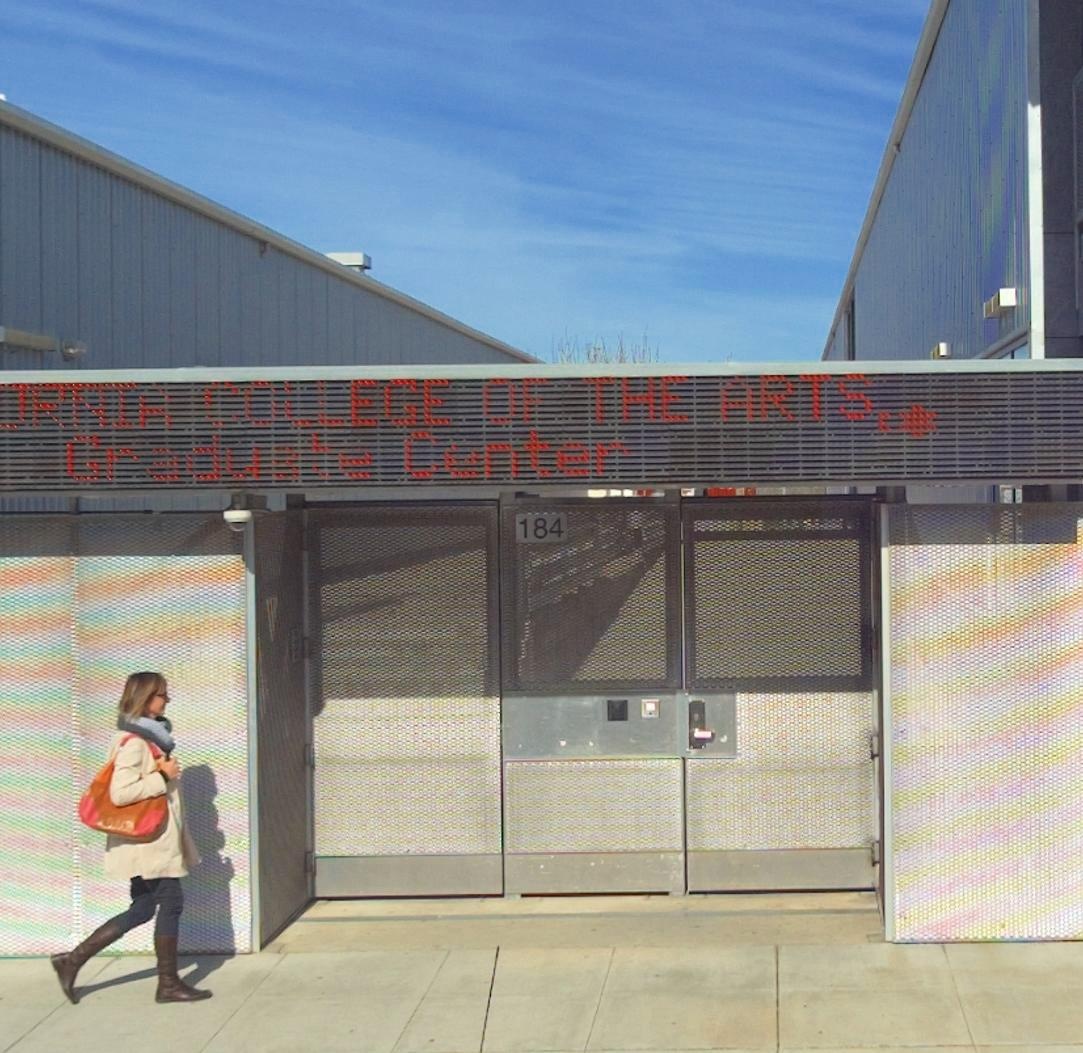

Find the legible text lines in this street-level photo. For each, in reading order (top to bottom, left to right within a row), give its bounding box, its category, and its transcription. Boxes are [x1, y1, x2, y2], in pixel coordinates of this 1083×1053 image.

[25, 368, 881, 433] None: RNIA COLLEGE OF THE ARTS
[61, 423, 636, 487] None: Graduate Center
[517, 515, 566, 541] StreetNumber: 184